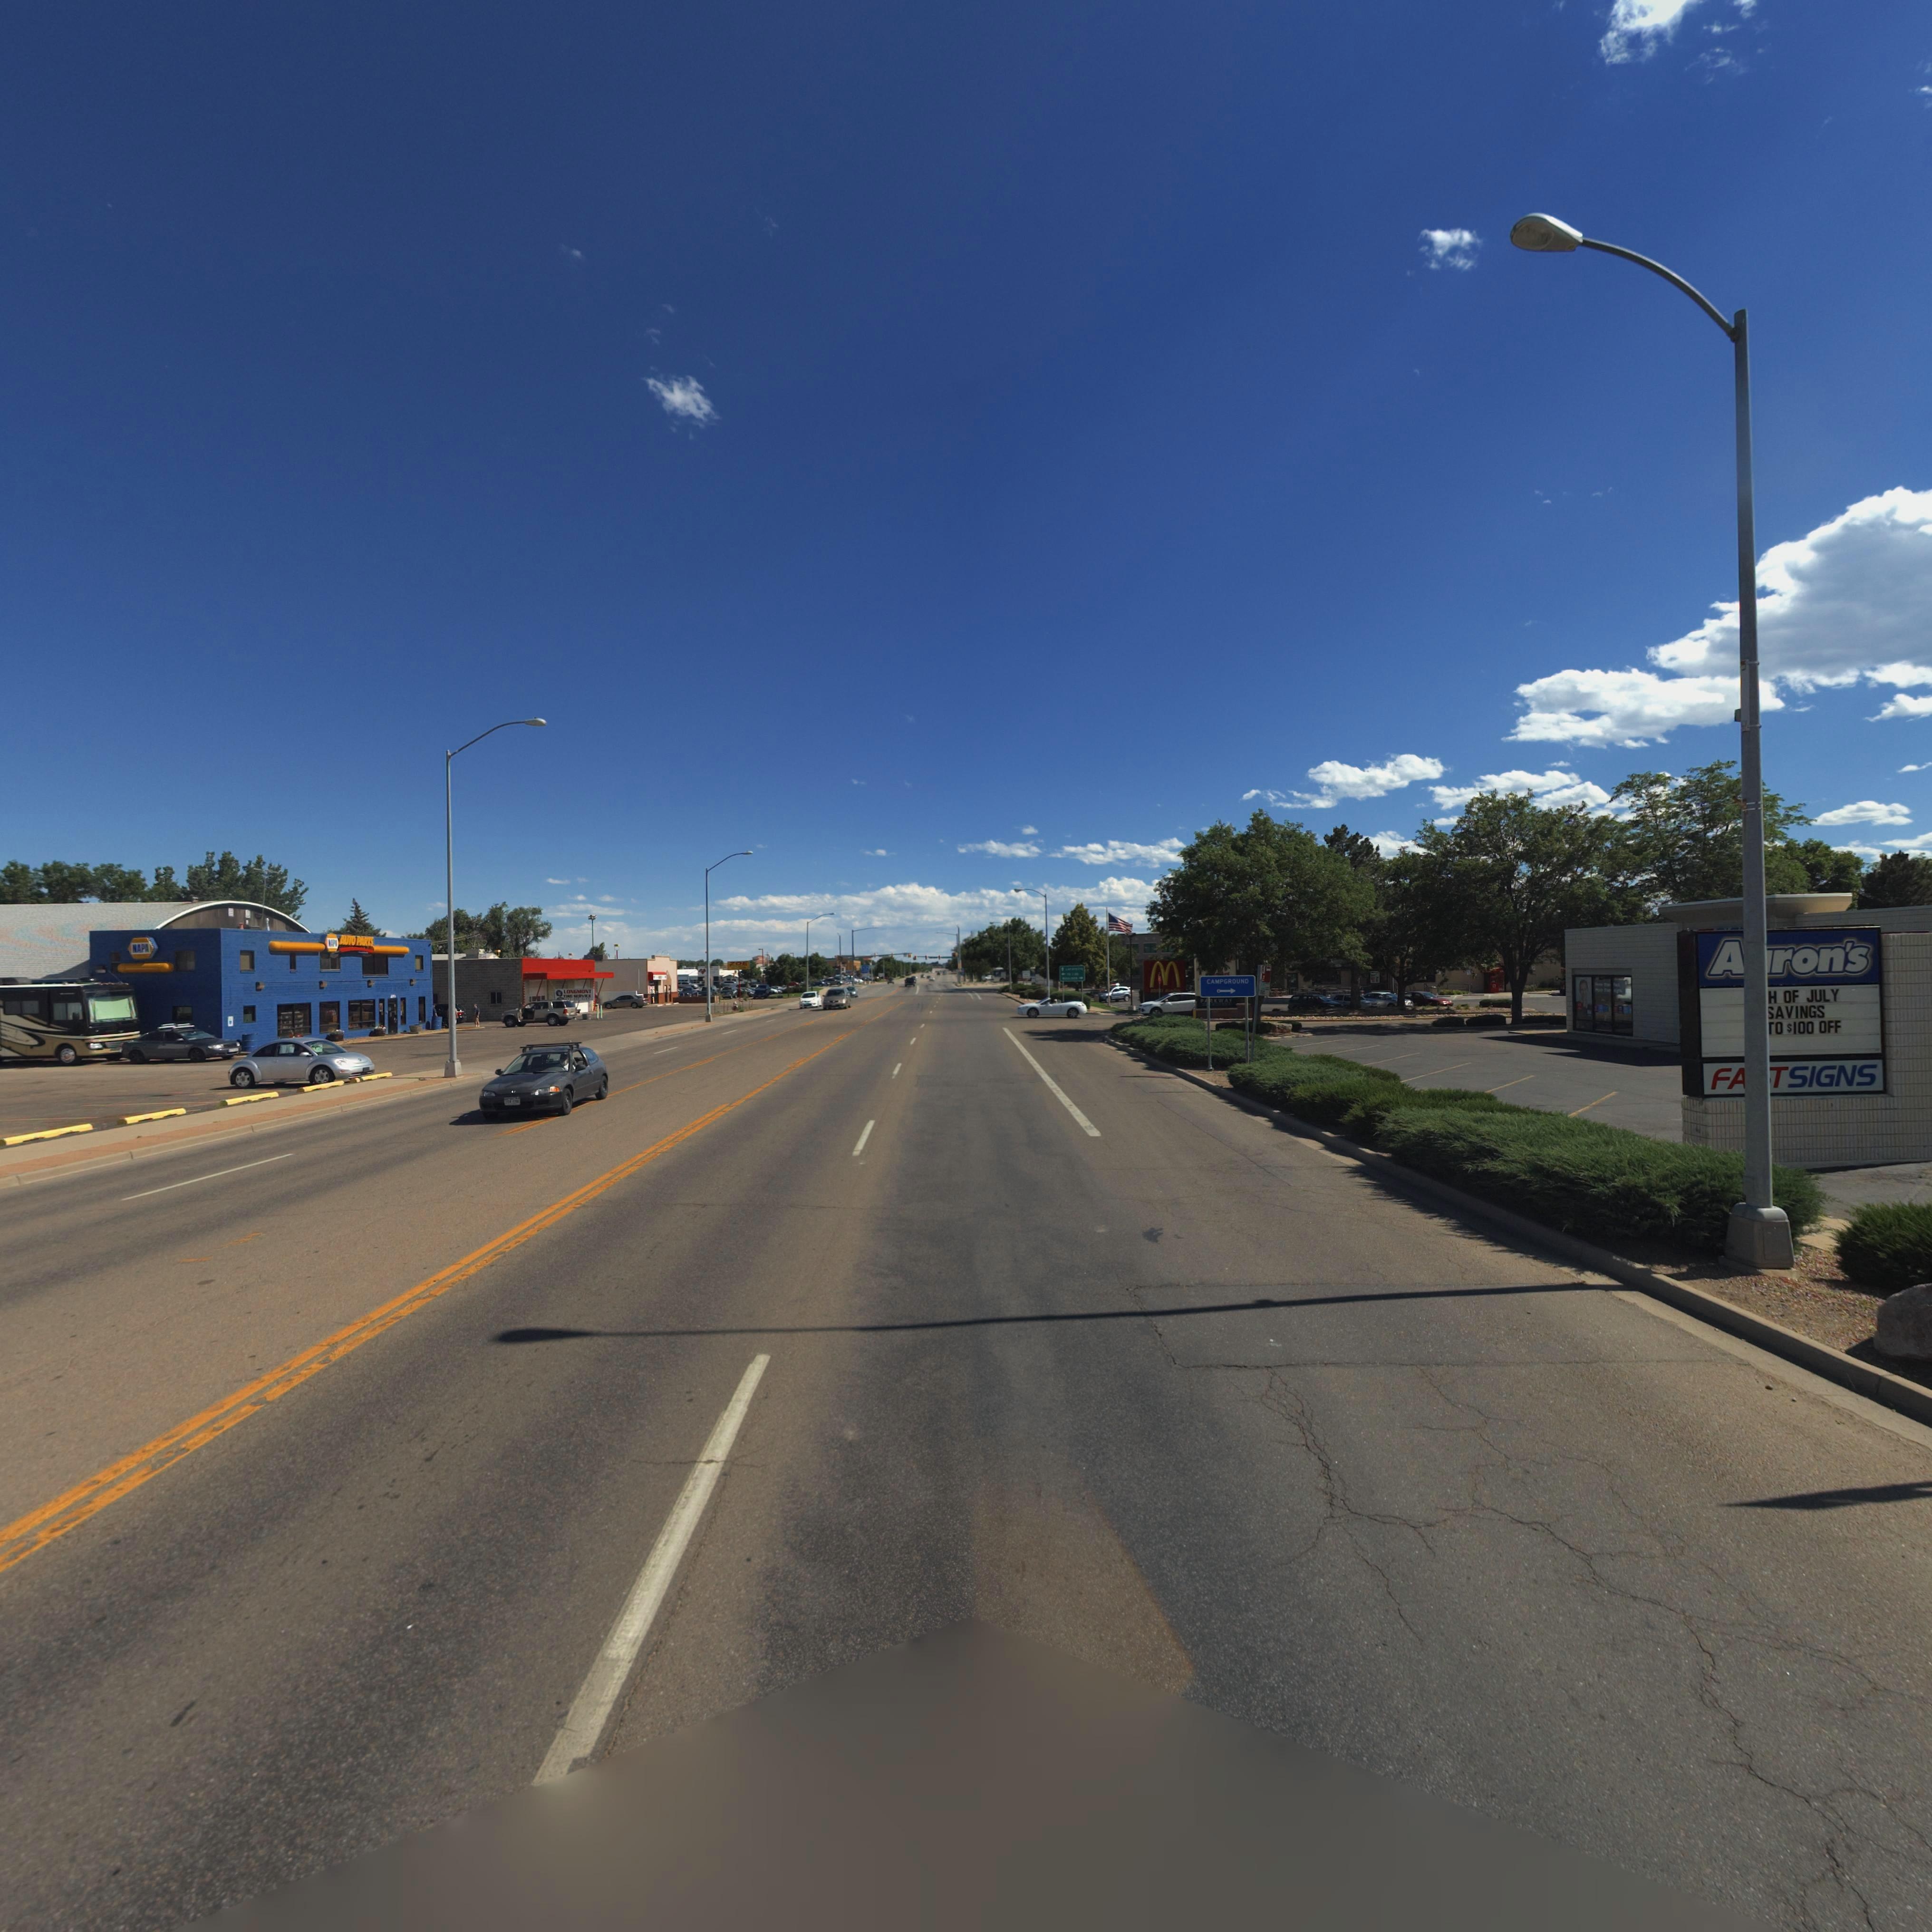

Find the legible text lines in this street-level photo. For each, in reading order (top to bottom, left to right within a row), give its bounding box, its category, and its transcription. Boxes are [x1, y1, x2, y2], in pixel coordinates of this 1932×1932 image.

[328, 938, 337, 947] BusinessName: **P*
[338, 934, 374, 946] BusinessName: AUTO PARTS
[132, 943, 149, 953] BusinessName: NAPA
[1705, 937, 1871, 977] BusinessName: A*ron's
[729, 960, 748, 966] BusinessName: ZOE
[562, 994, 591, 998] BusinessName: T*** S*RVIC*
[563, 989, 592, 994] BusinessName: LONGMONT
[1709, 1063, 1878, 1091] BusinessName: FA*TSIGNS